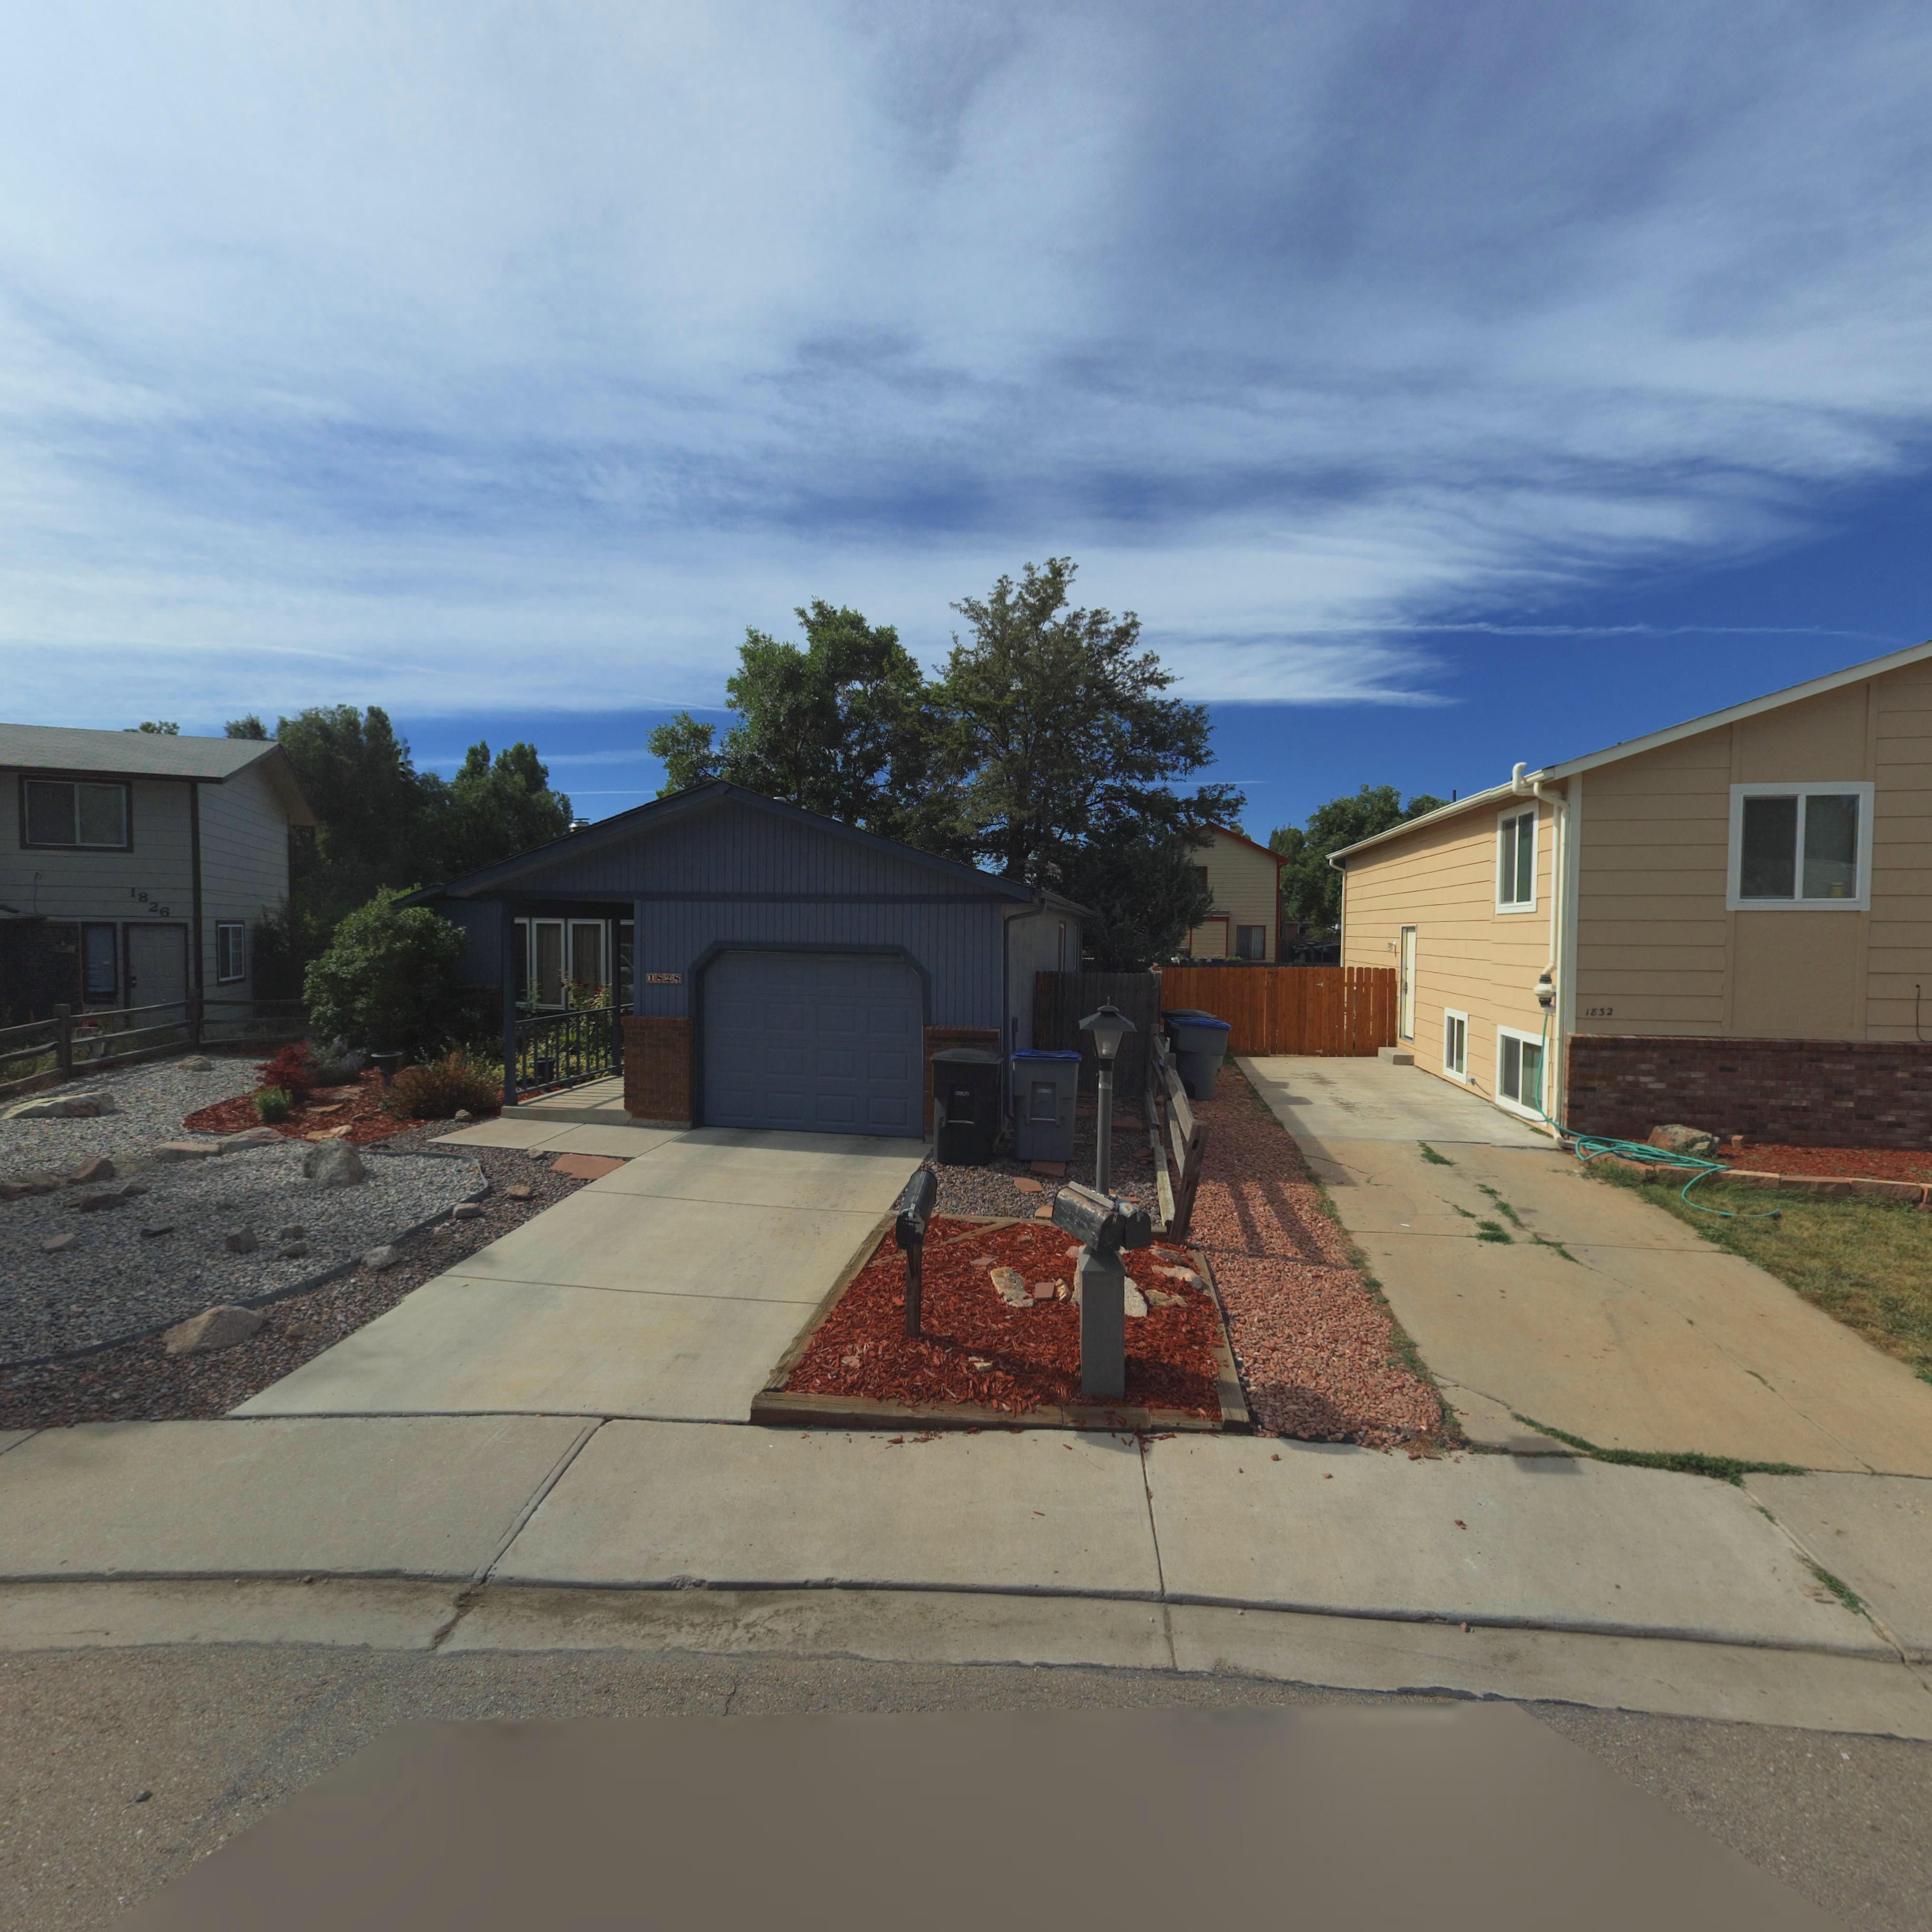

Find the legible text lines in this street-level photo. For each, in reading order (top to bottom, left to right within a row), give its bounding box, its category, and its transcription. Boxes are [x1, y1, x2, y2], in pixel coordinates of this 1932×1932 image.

[130, 886, 170, 918] StreetNumber: 1826
[648, 974, 679, 982] StreetNumber: 1828
[1585, 1007, 1613, 1016] StreetNumber: 1832